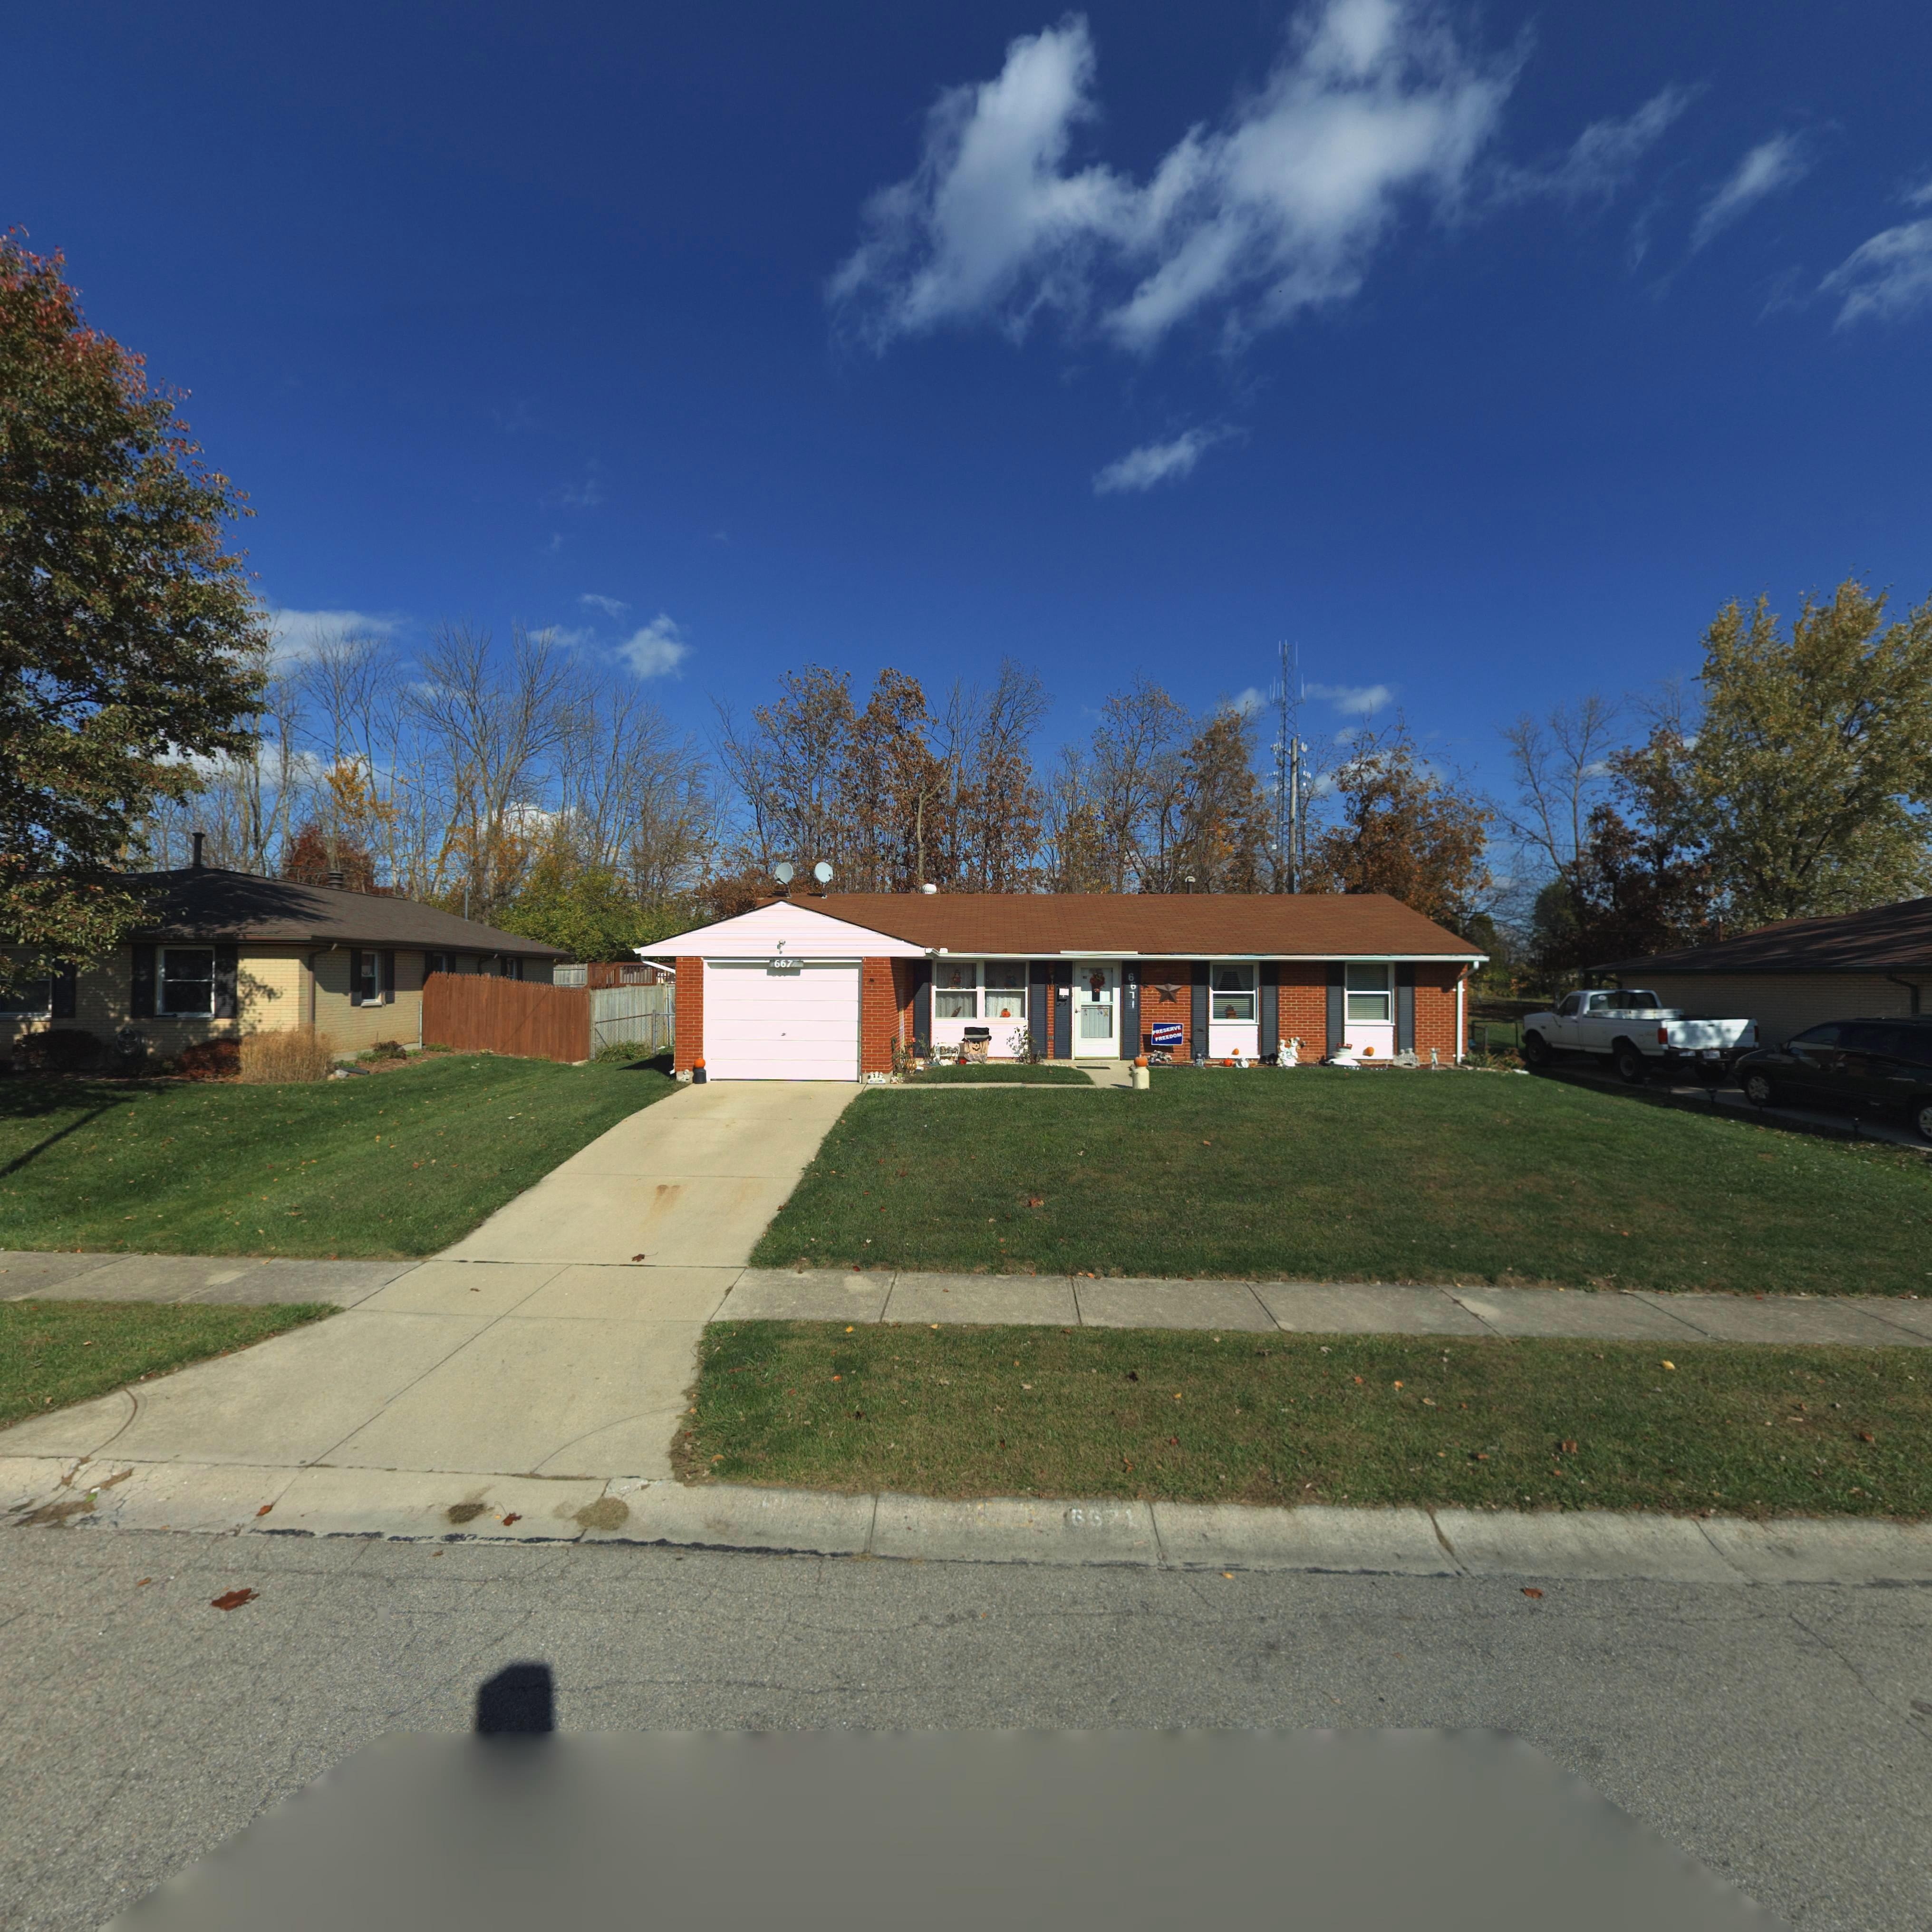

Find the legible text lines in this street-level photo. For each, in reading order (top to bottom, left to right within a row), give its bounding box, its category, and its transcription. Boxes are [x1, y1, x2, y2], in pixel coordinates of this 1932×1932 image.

[774, 959, 794, 968] StreetNumber: 667
[1128, 972, 1137, 1009] StreetNumber: 6671
[1067, 1507, 1140, 1529] StreetNumber: 6671